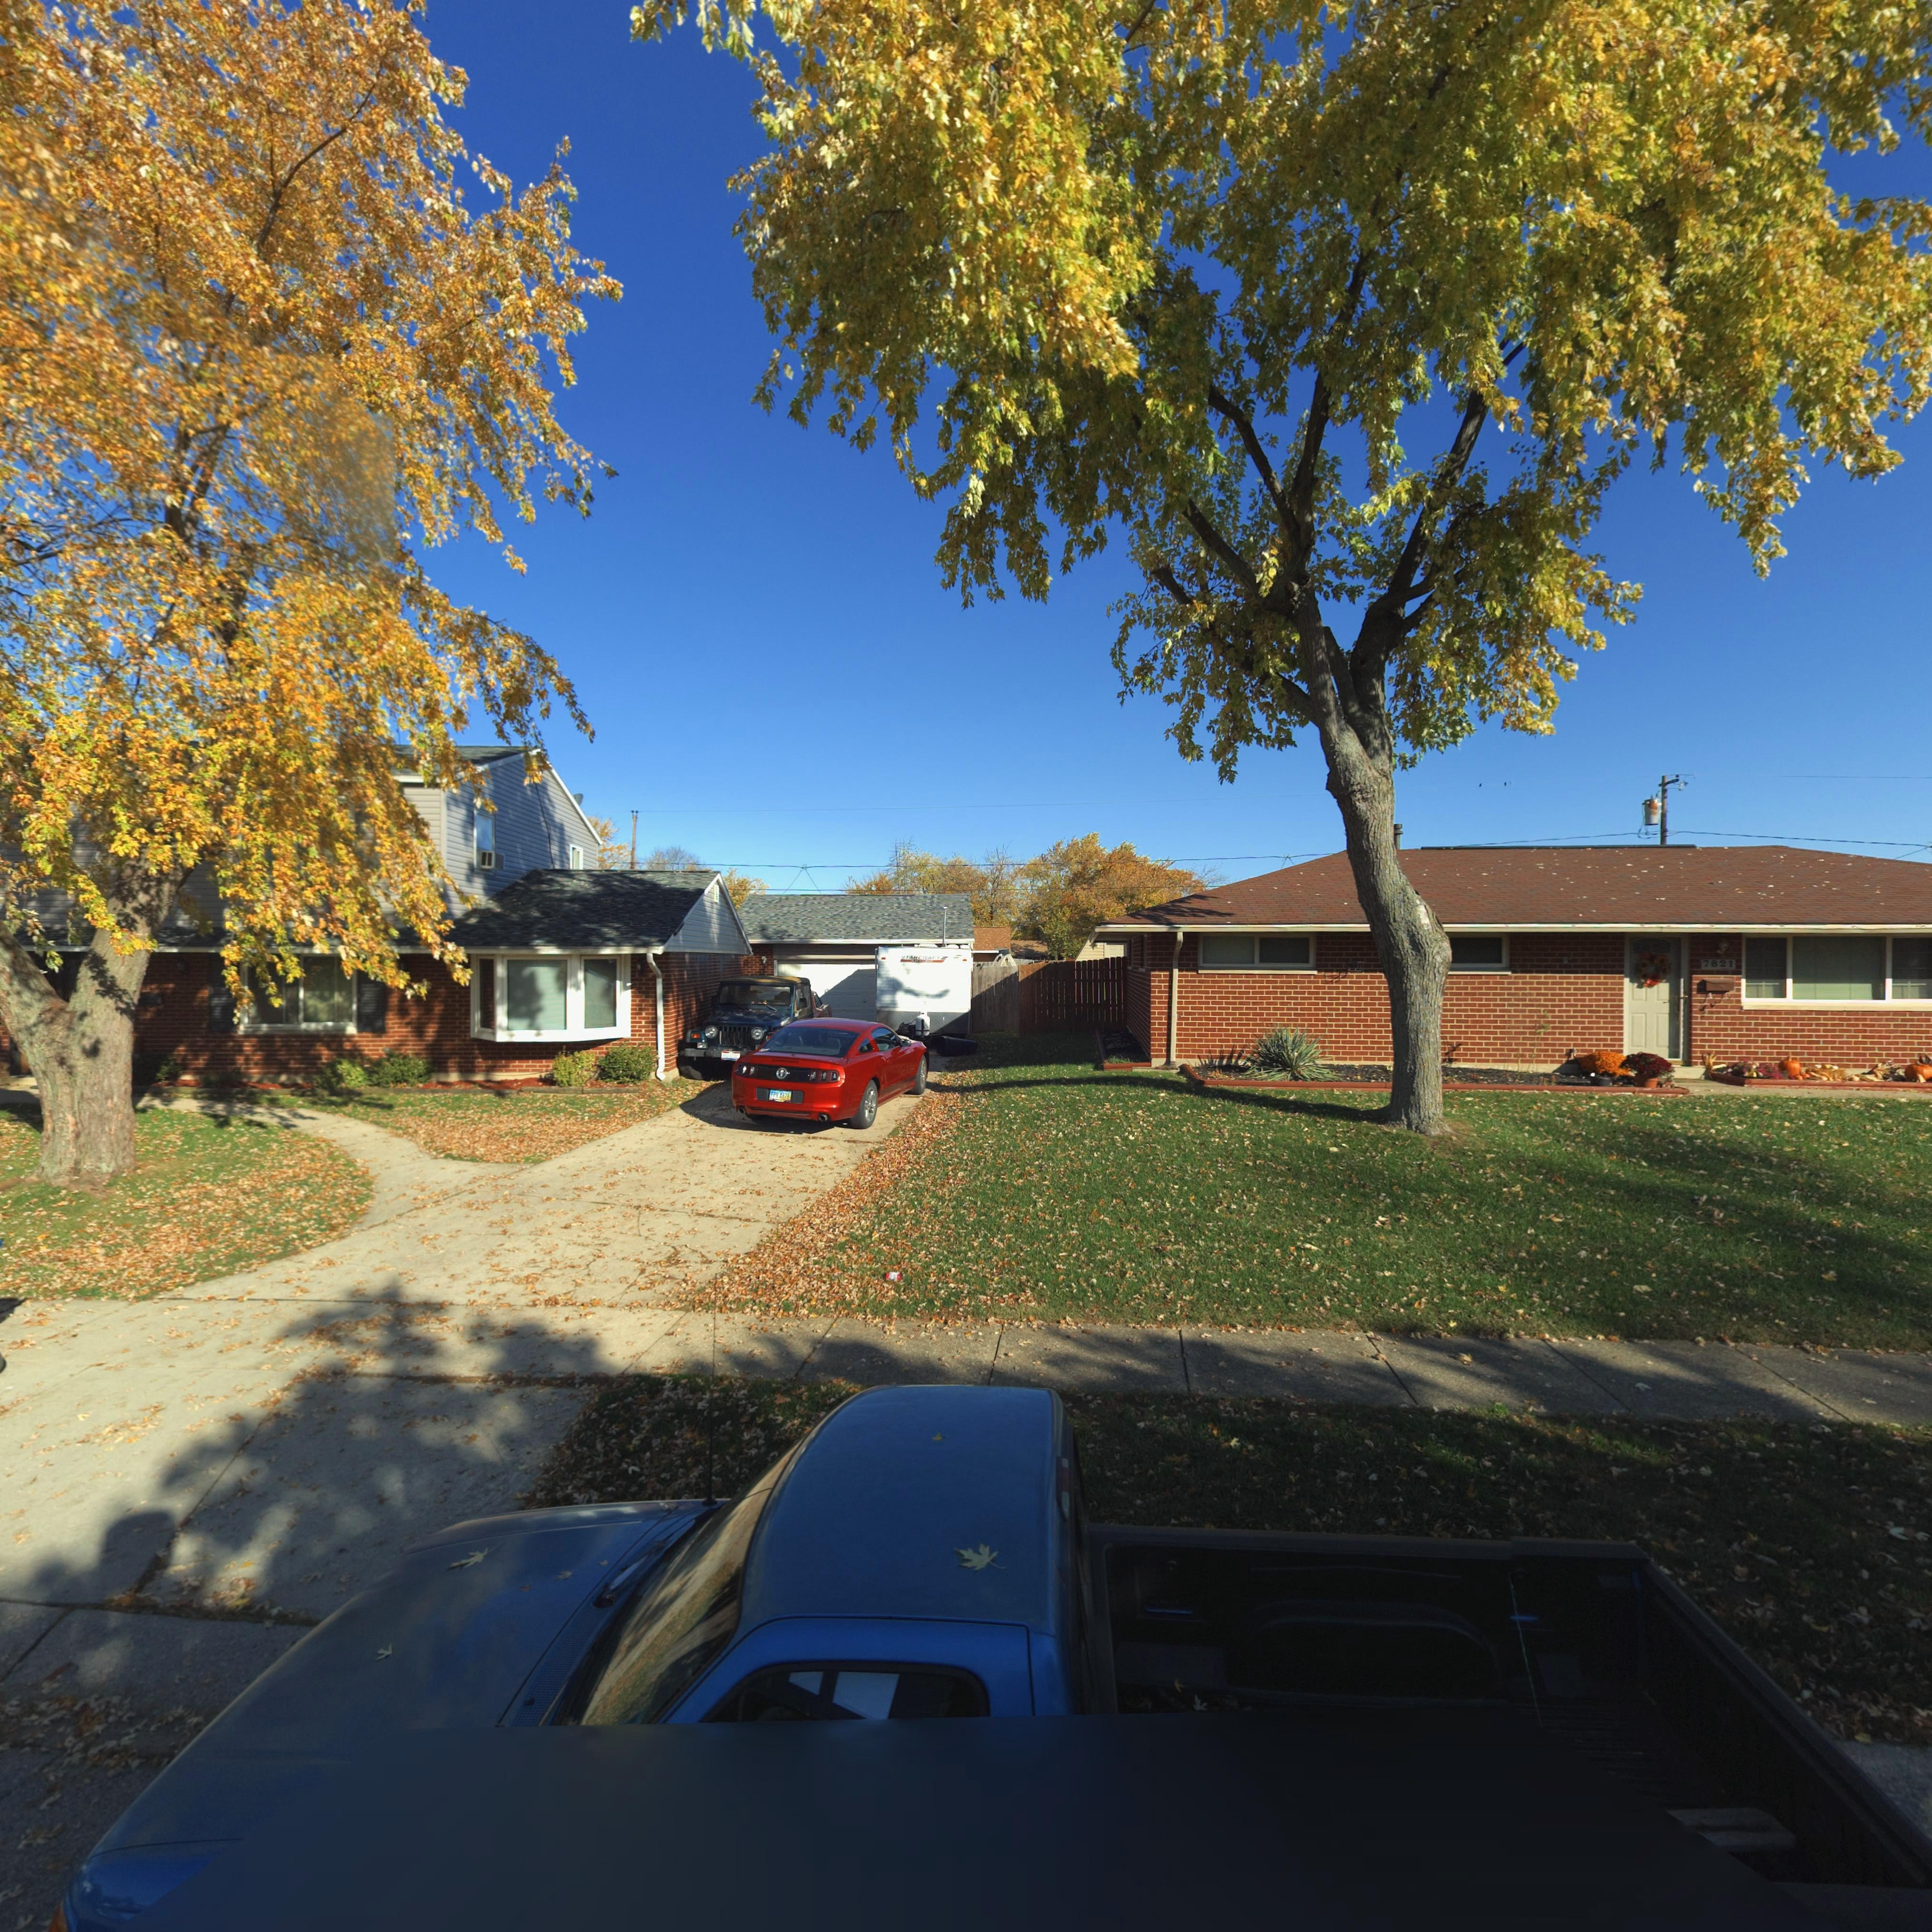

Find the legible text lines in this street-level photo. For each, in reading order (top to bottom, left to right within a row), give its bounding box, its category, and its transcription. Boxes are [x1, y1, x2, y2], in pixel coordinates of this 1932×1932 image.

[1702, 959, 1734, 968] StreetNumber: 7821